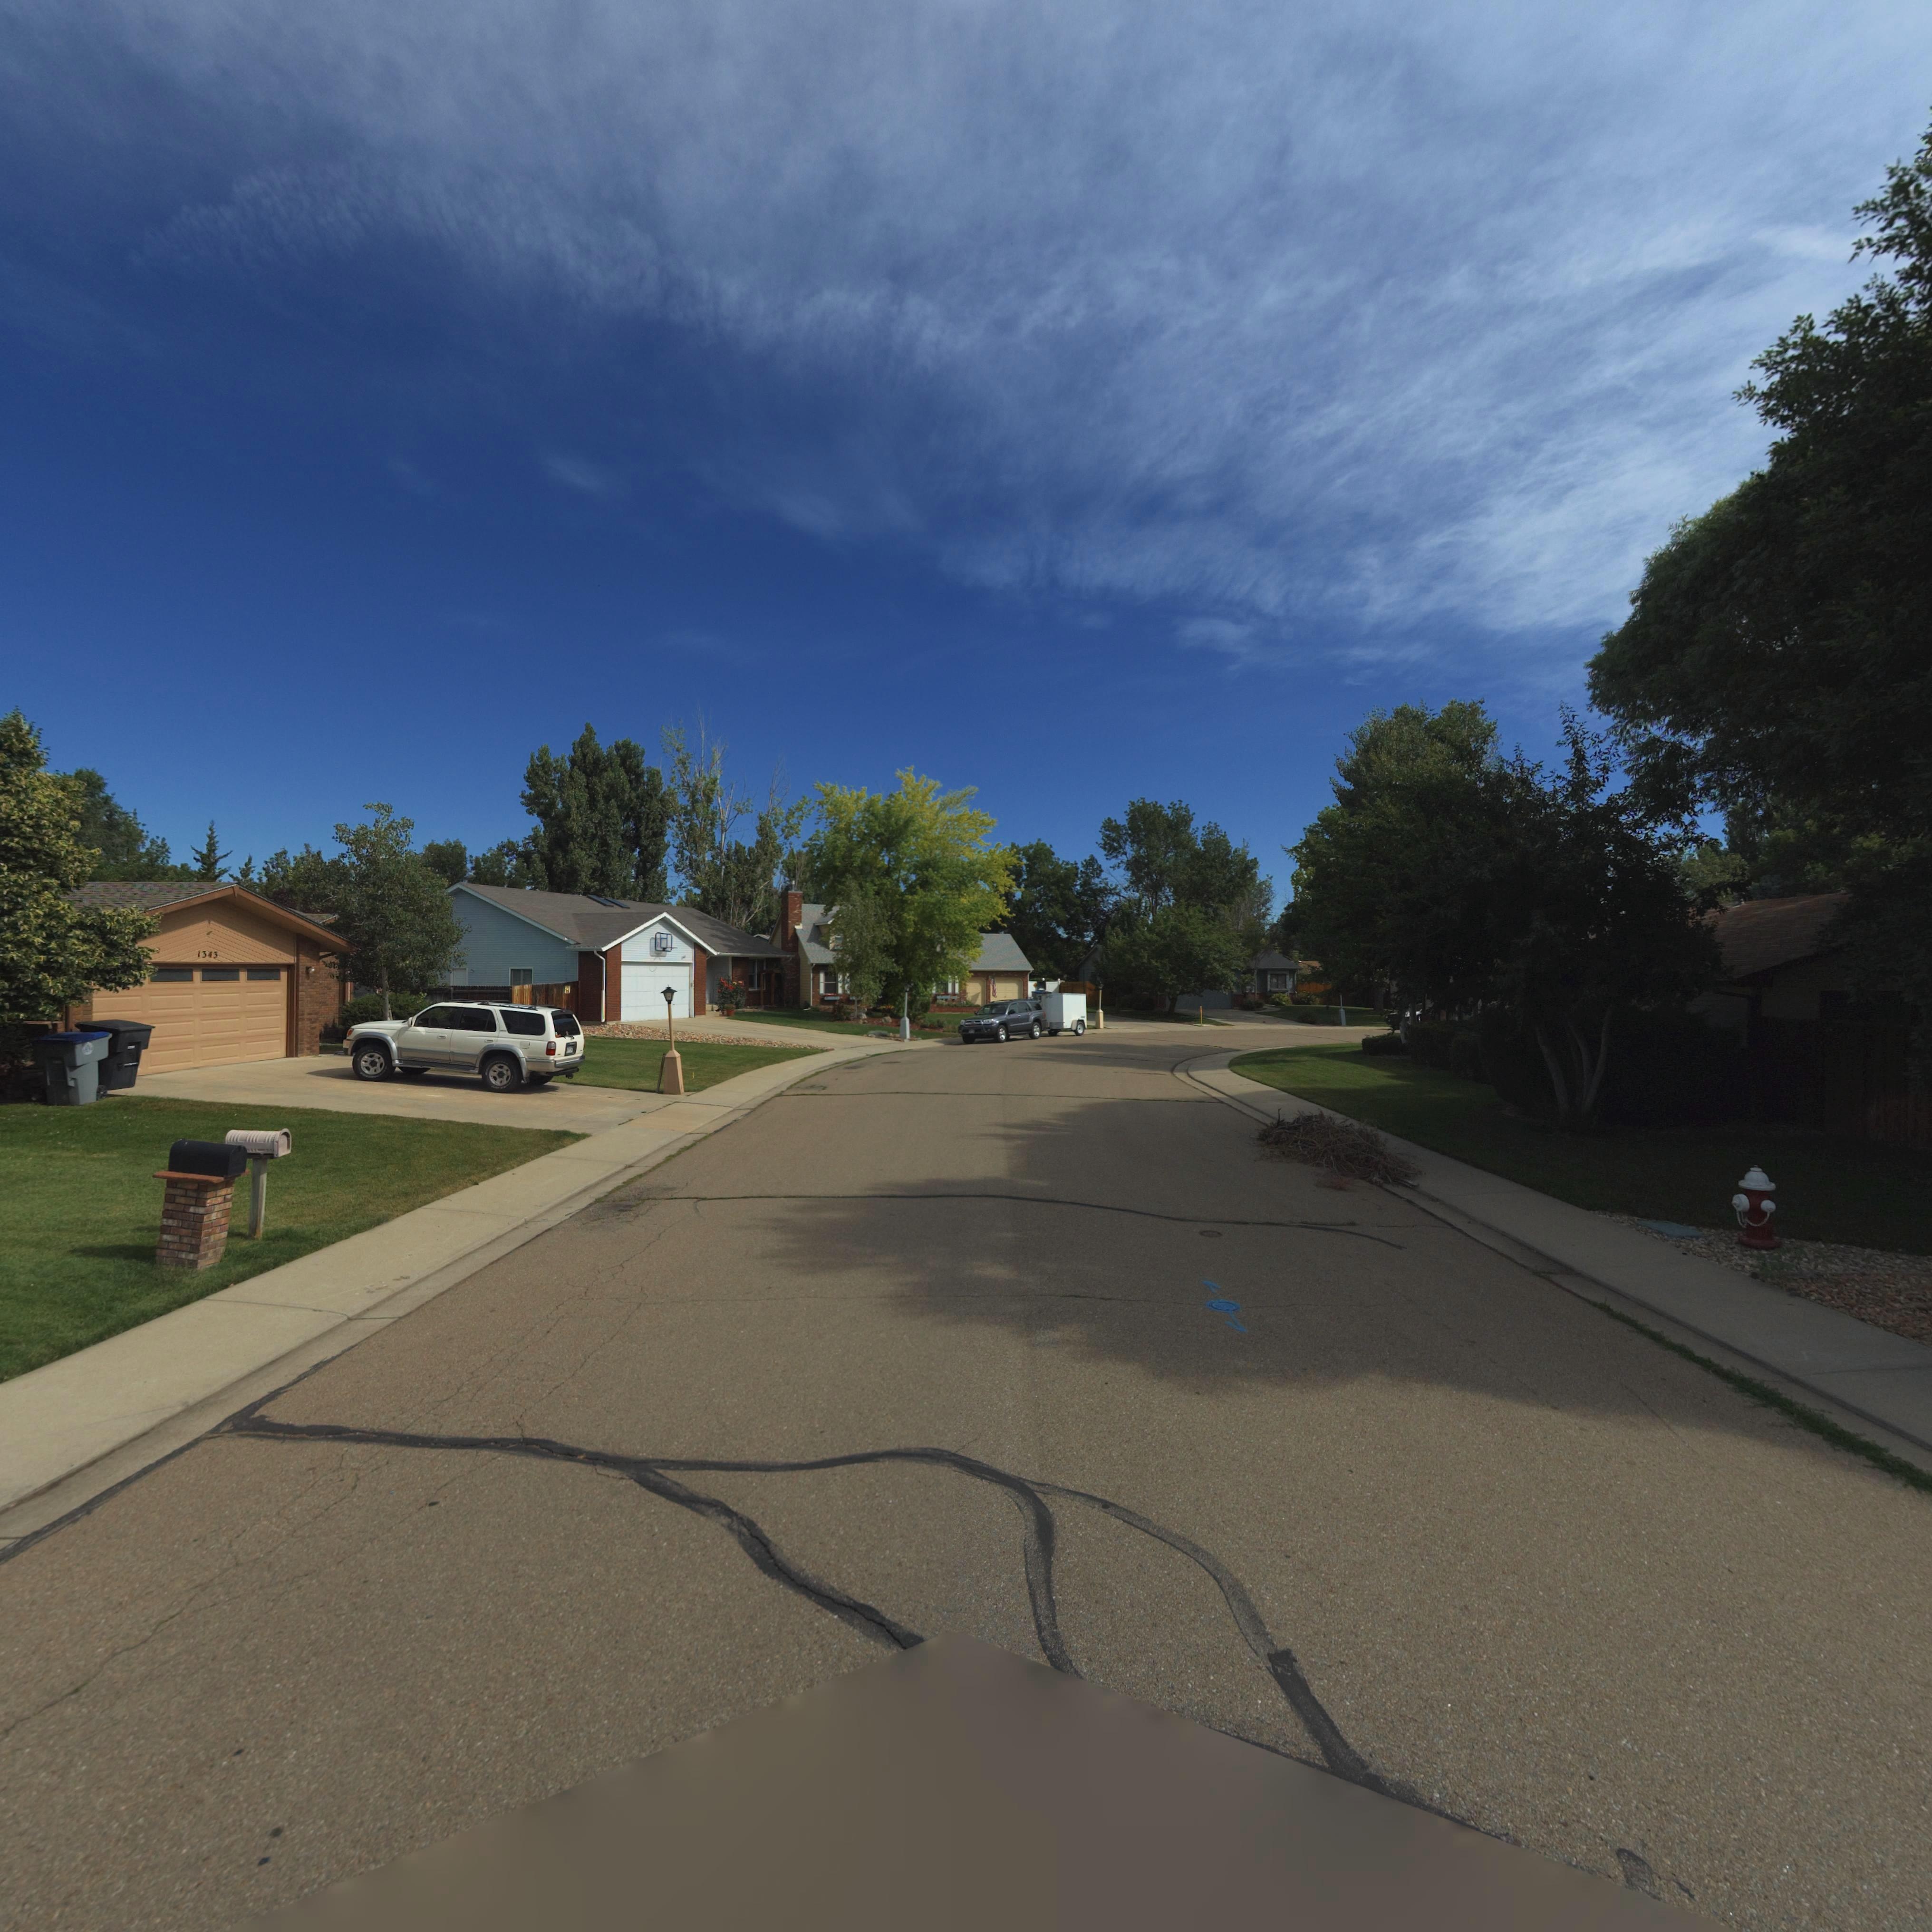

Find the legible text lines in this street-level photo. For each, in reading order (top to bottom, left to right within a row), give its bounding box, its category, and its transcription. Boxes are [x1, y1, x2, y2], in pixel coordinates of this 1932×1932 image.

[197, 949, 218, 959] StreetNumber: 1343